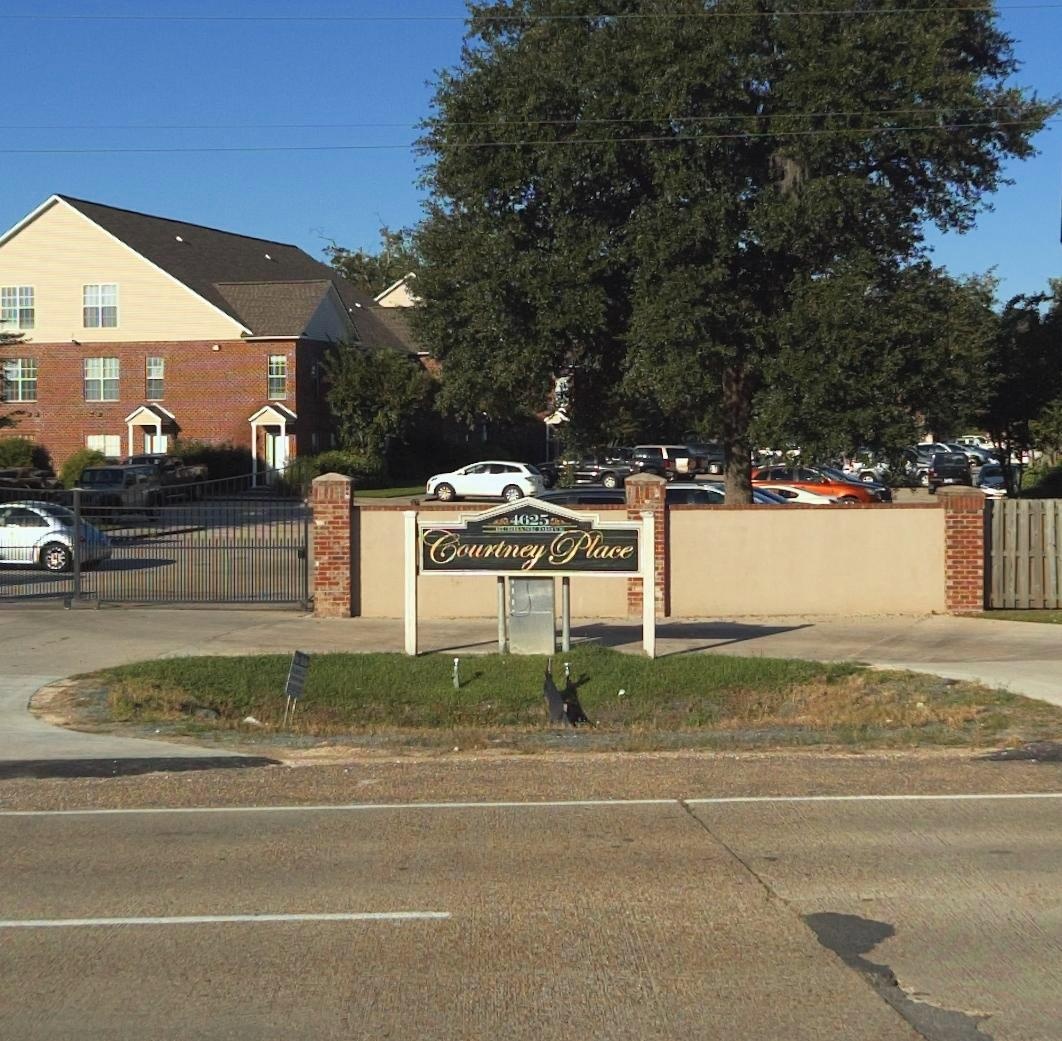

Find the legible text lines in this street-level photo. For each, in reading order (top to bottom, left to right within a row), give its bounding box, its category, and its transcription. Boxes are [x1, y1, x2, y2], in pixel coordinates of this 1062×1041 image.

[509, 513, 551, 527] StreetNumber: 4625
[426, 526, 637, 574] None: Countney Place